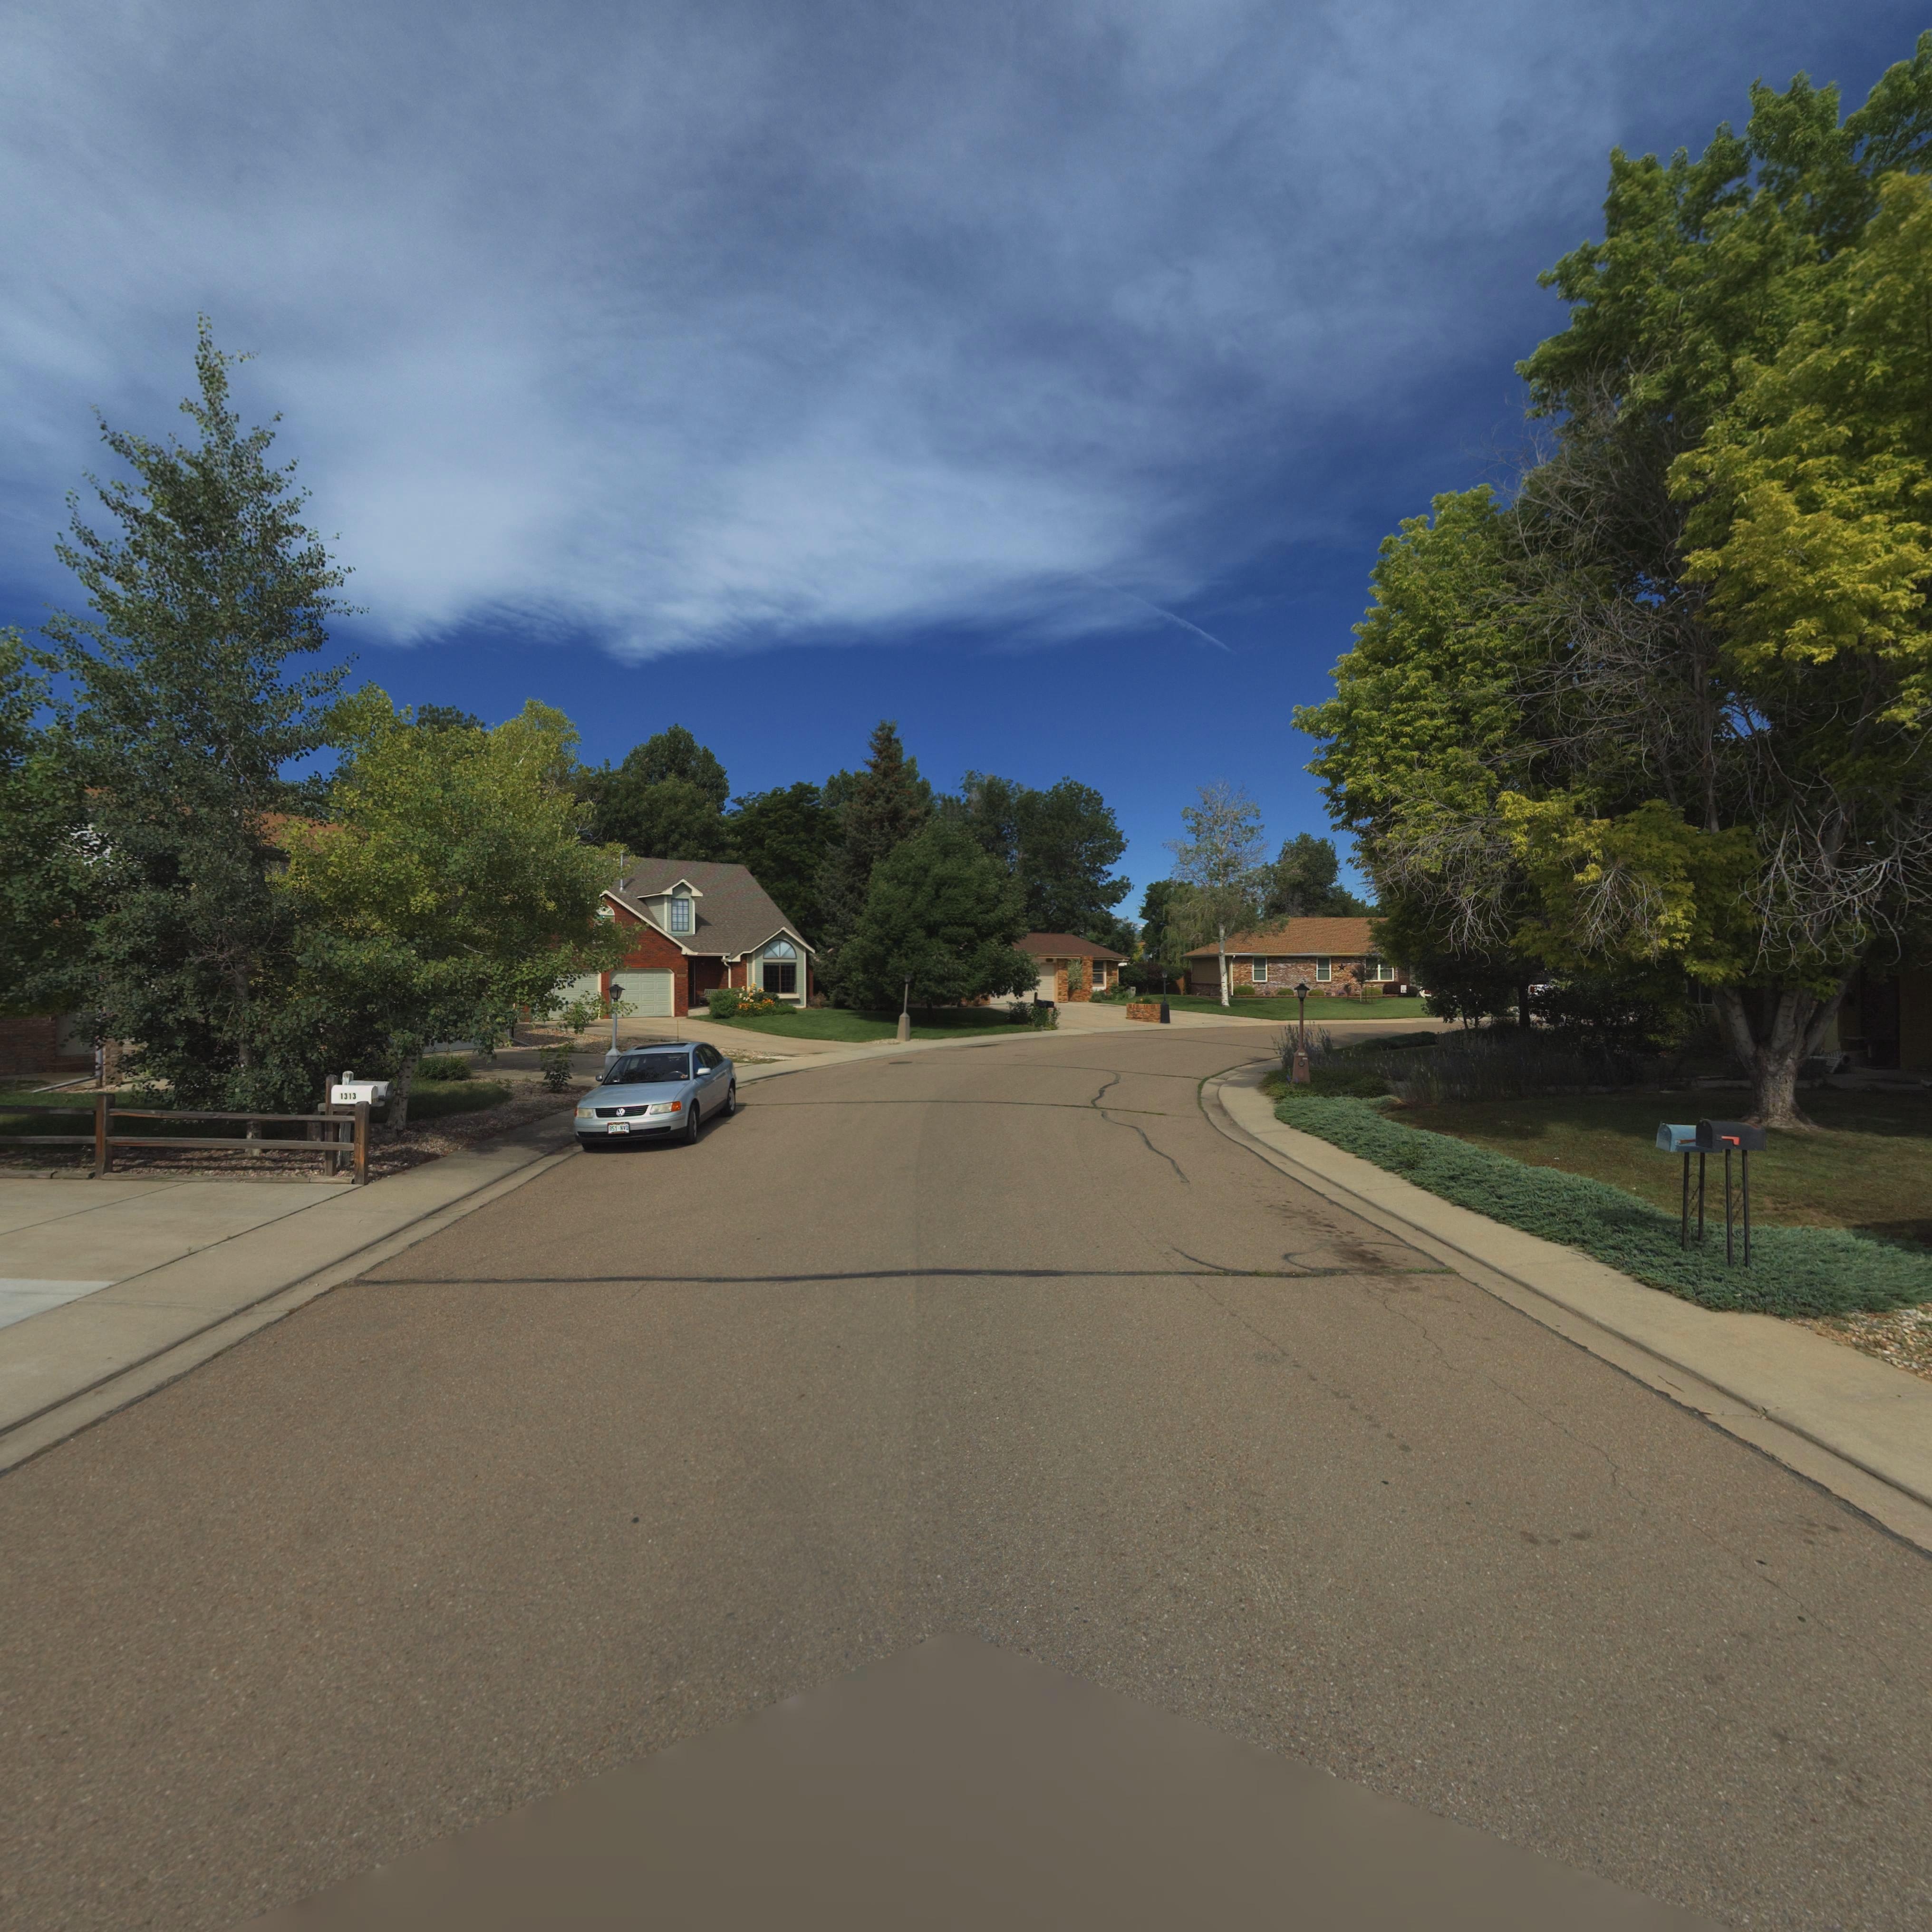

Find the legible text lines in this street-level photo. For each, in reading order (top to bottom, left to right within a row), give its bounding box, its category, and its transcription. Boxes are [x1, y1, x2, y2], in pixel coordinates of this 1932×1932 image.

[677, 974, 686, 977] StreetNumber: 13**
[340, 1092, 356, 1100] StreetNumber: 1313
[371, 1097, 379, 1103] StreetNumber: 131*